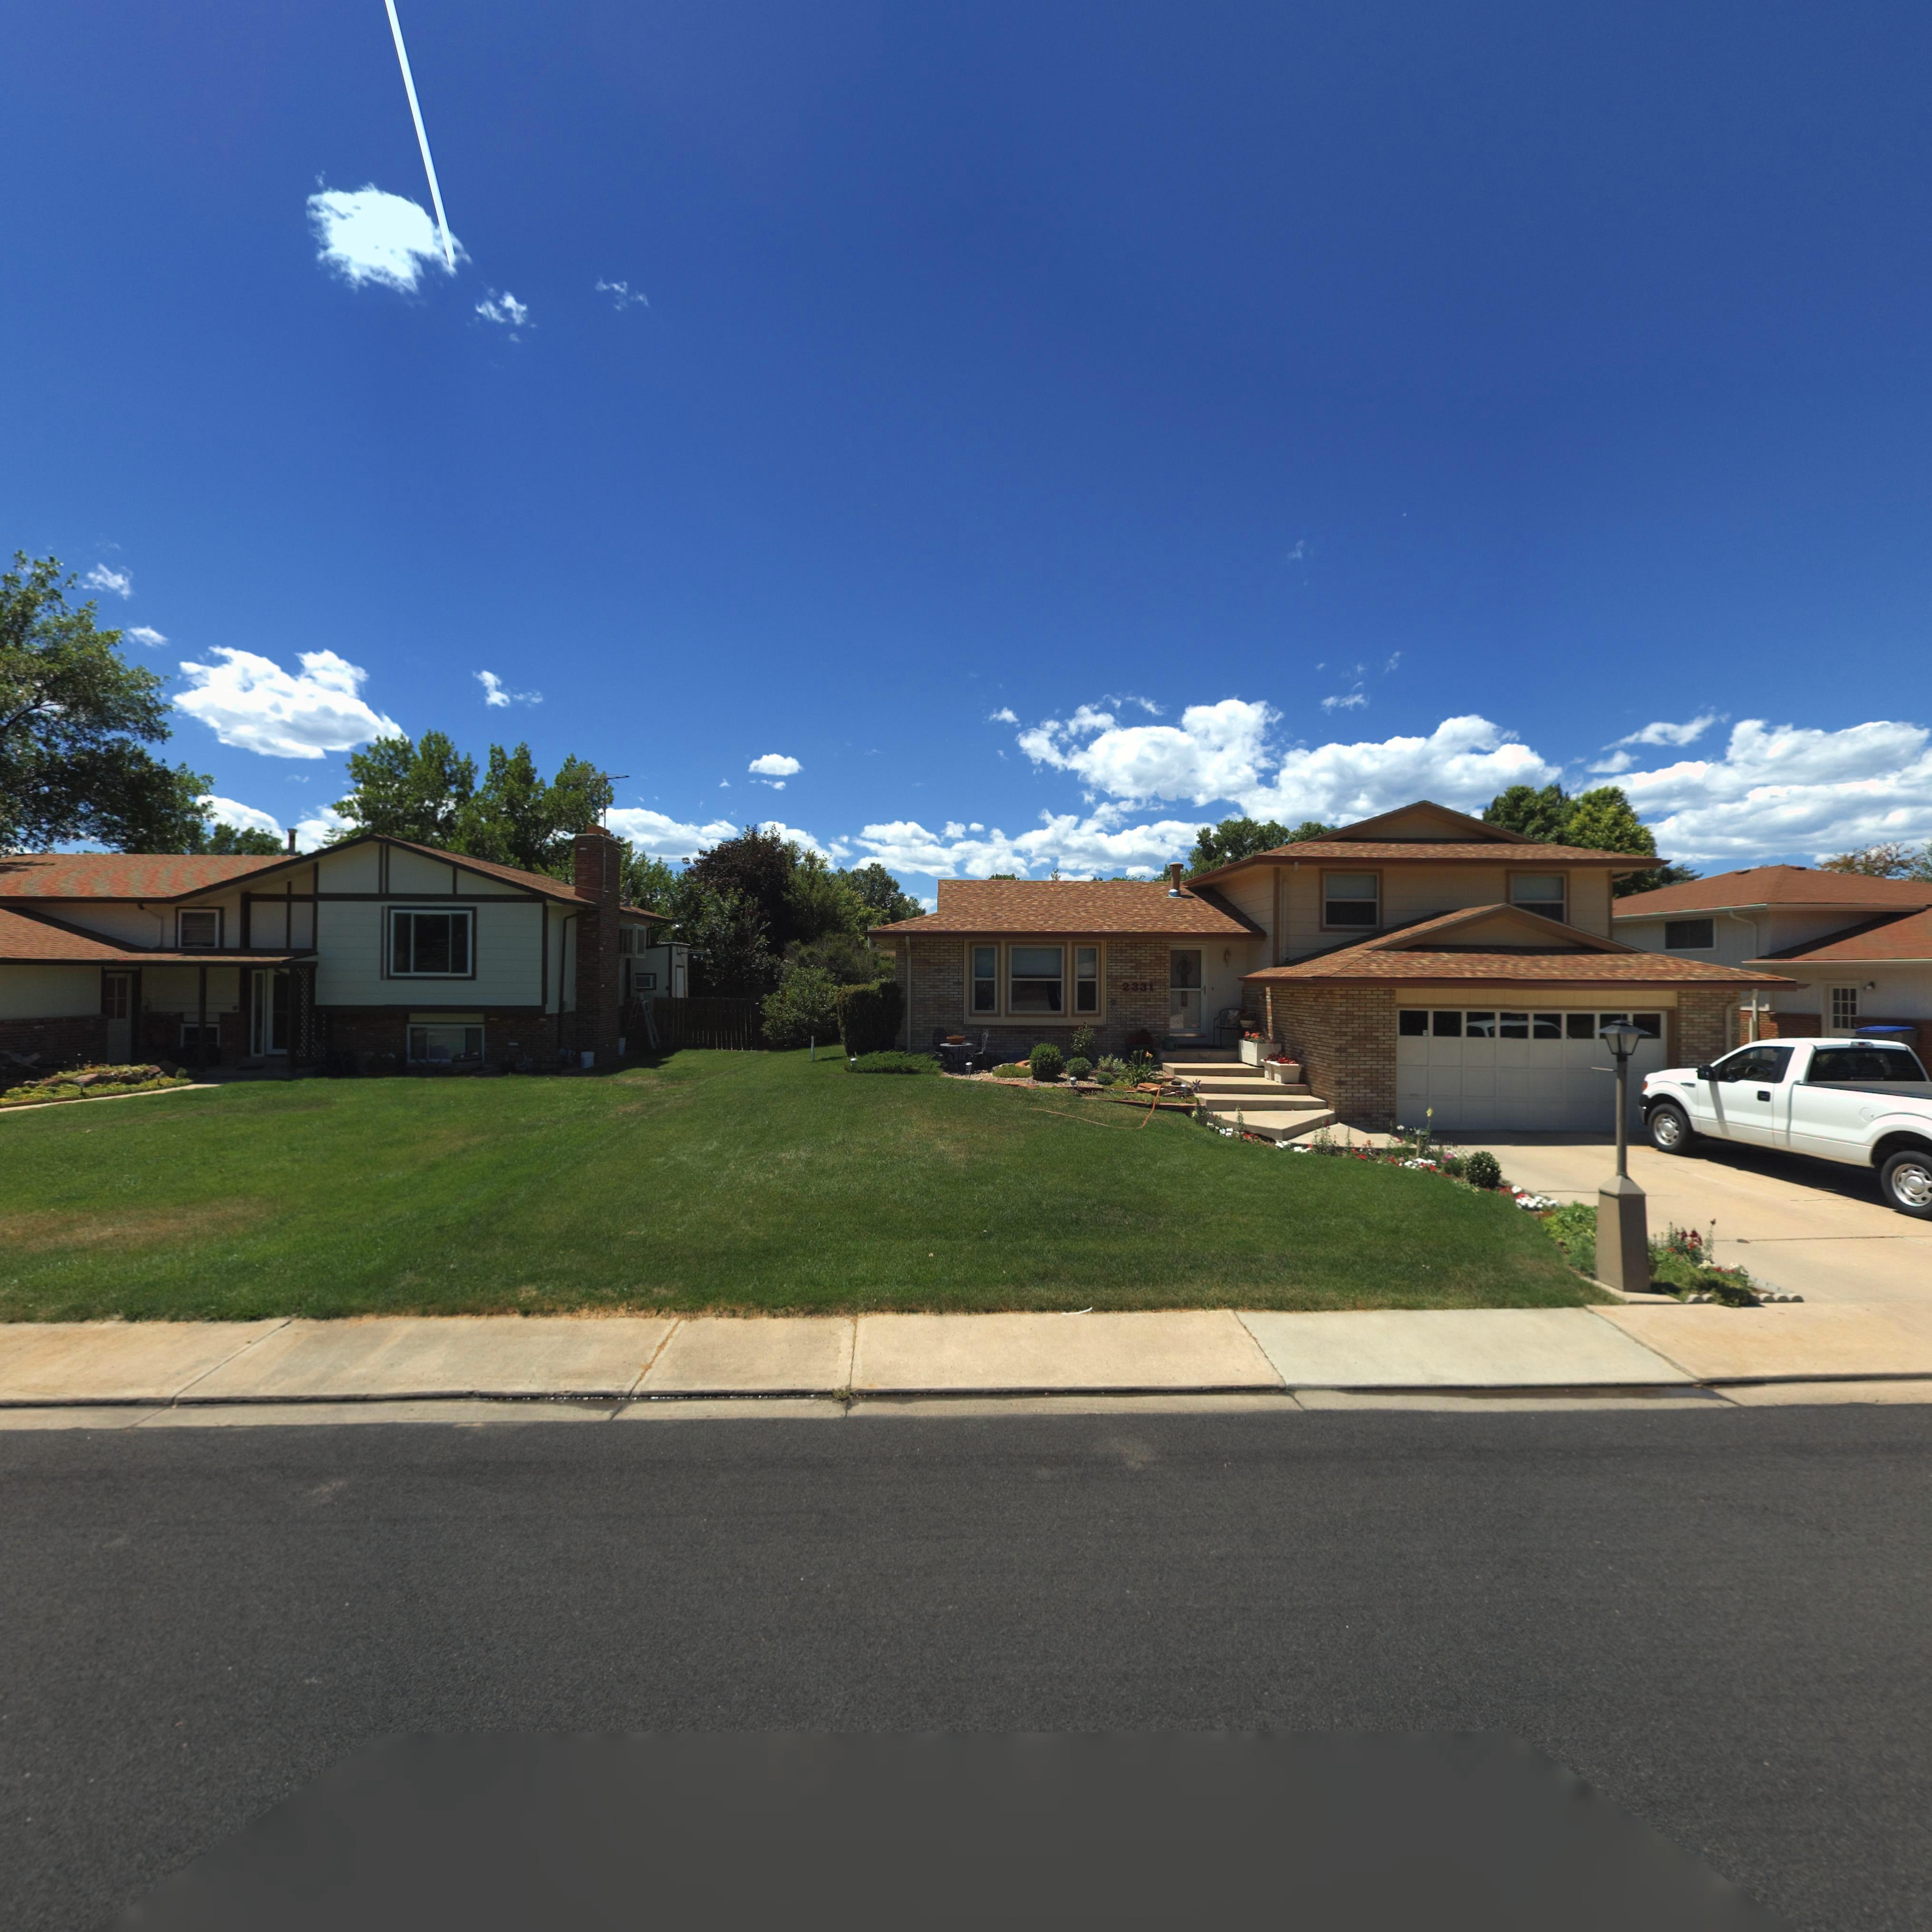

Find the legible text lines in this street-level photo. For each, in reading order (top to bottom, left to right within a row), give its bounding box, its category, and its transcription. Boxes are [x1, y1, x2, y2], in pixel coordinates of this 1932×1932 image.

[1121, 982, 1154, 991] StreetNumber: 2331